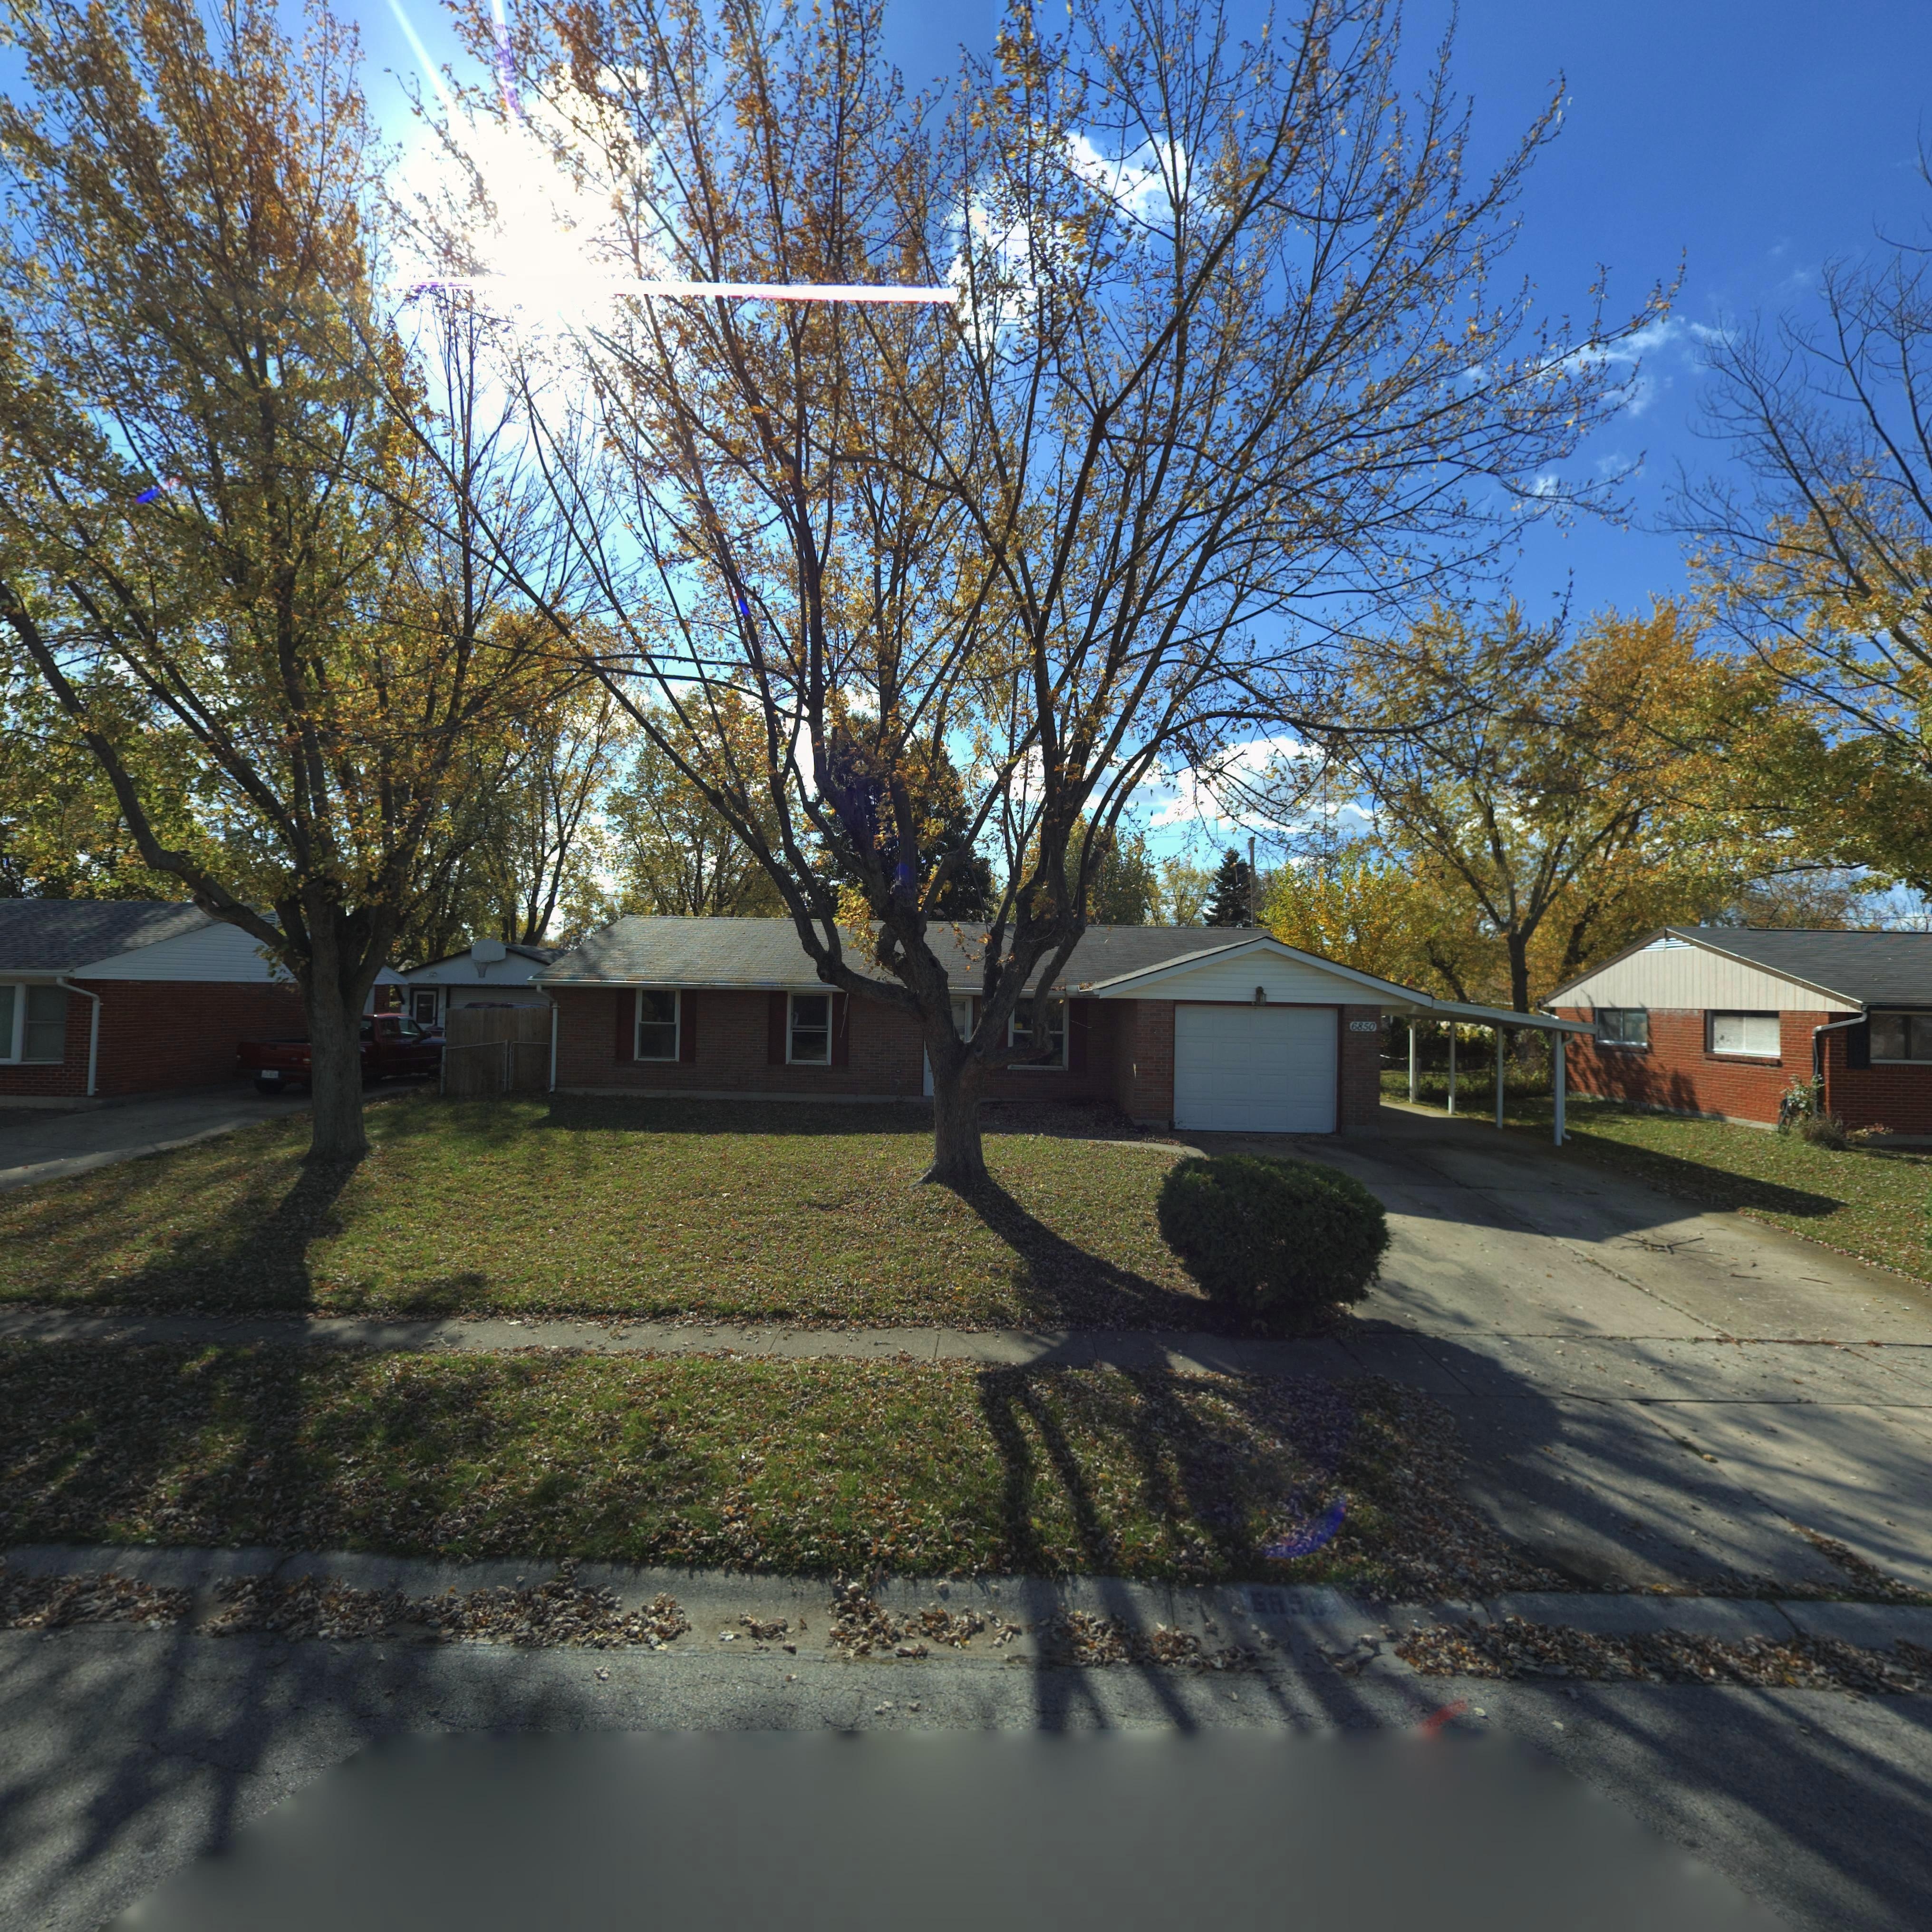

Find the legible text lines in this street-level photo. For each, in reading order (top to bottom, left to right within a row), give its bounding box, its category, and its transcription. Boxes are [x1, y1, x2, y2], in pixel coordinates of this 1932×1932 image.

[1350, 1021, 1376, 1032] StreetNumber: 6850